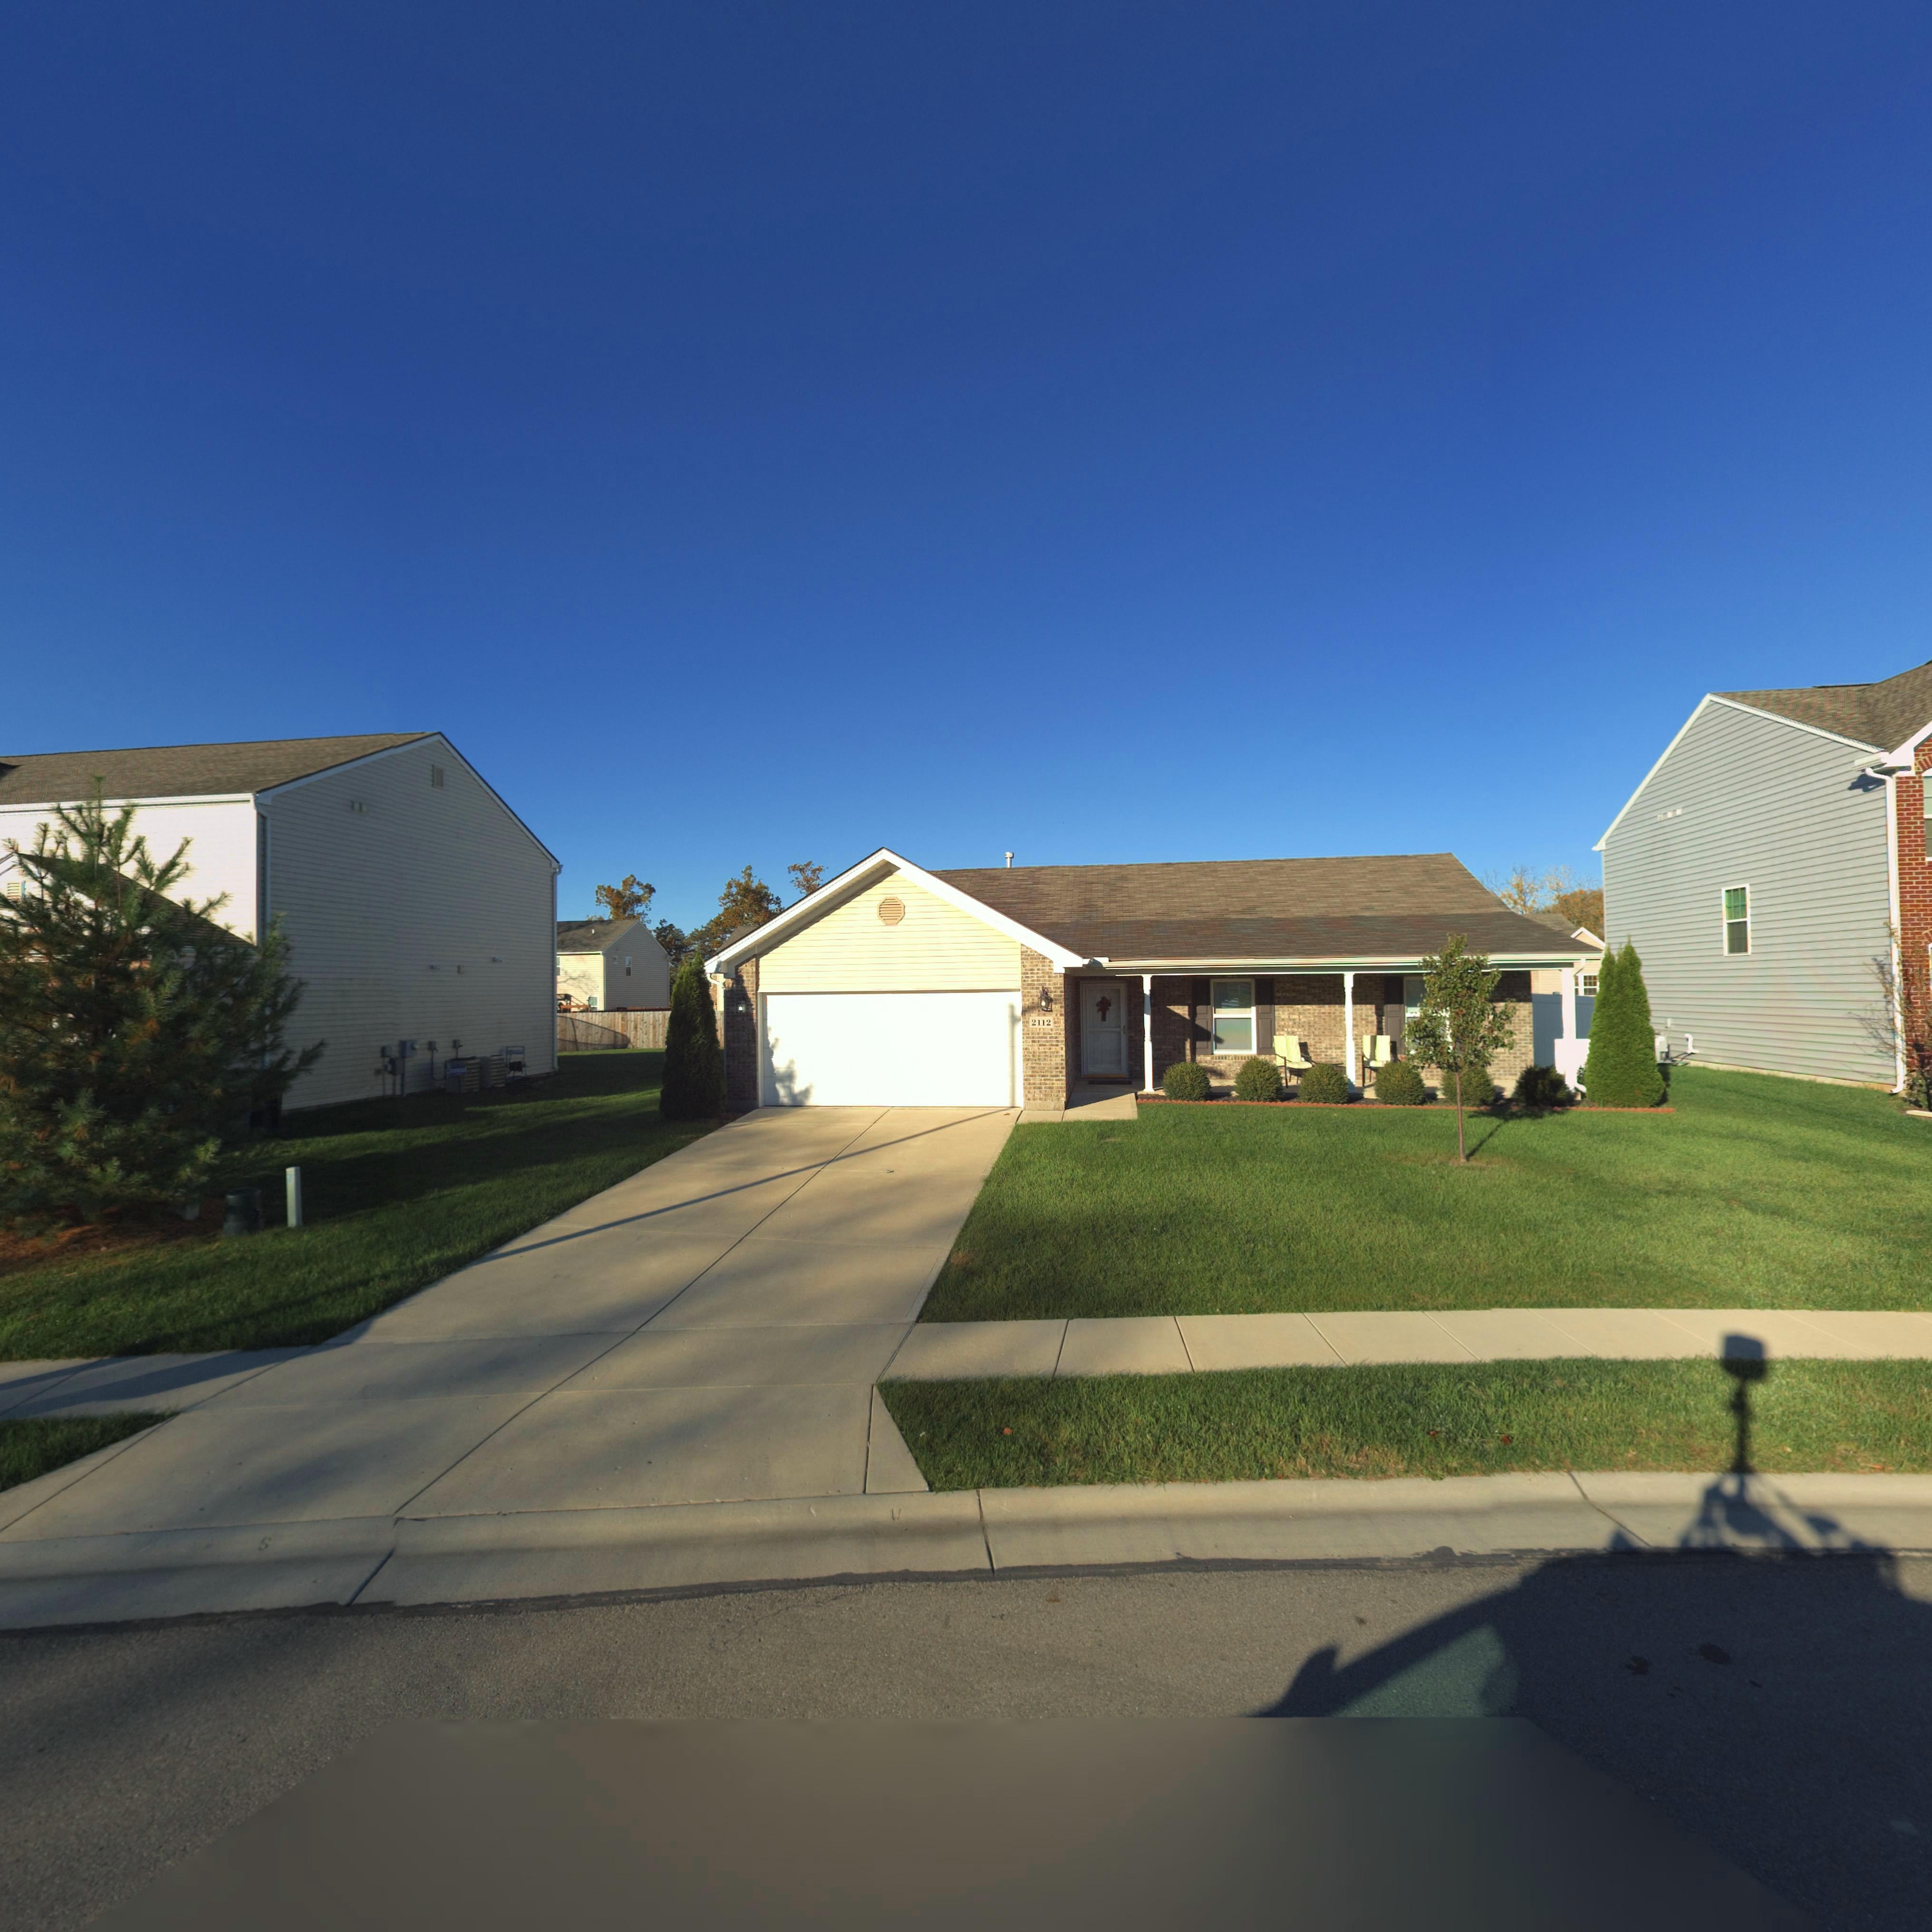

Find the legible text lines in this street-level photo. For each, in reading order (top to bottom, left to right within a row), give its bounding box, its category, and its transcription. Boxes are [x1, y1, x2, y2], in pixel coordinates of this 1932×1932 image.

[1030, 1018, 1052, 1027] StreetNumber: 2112